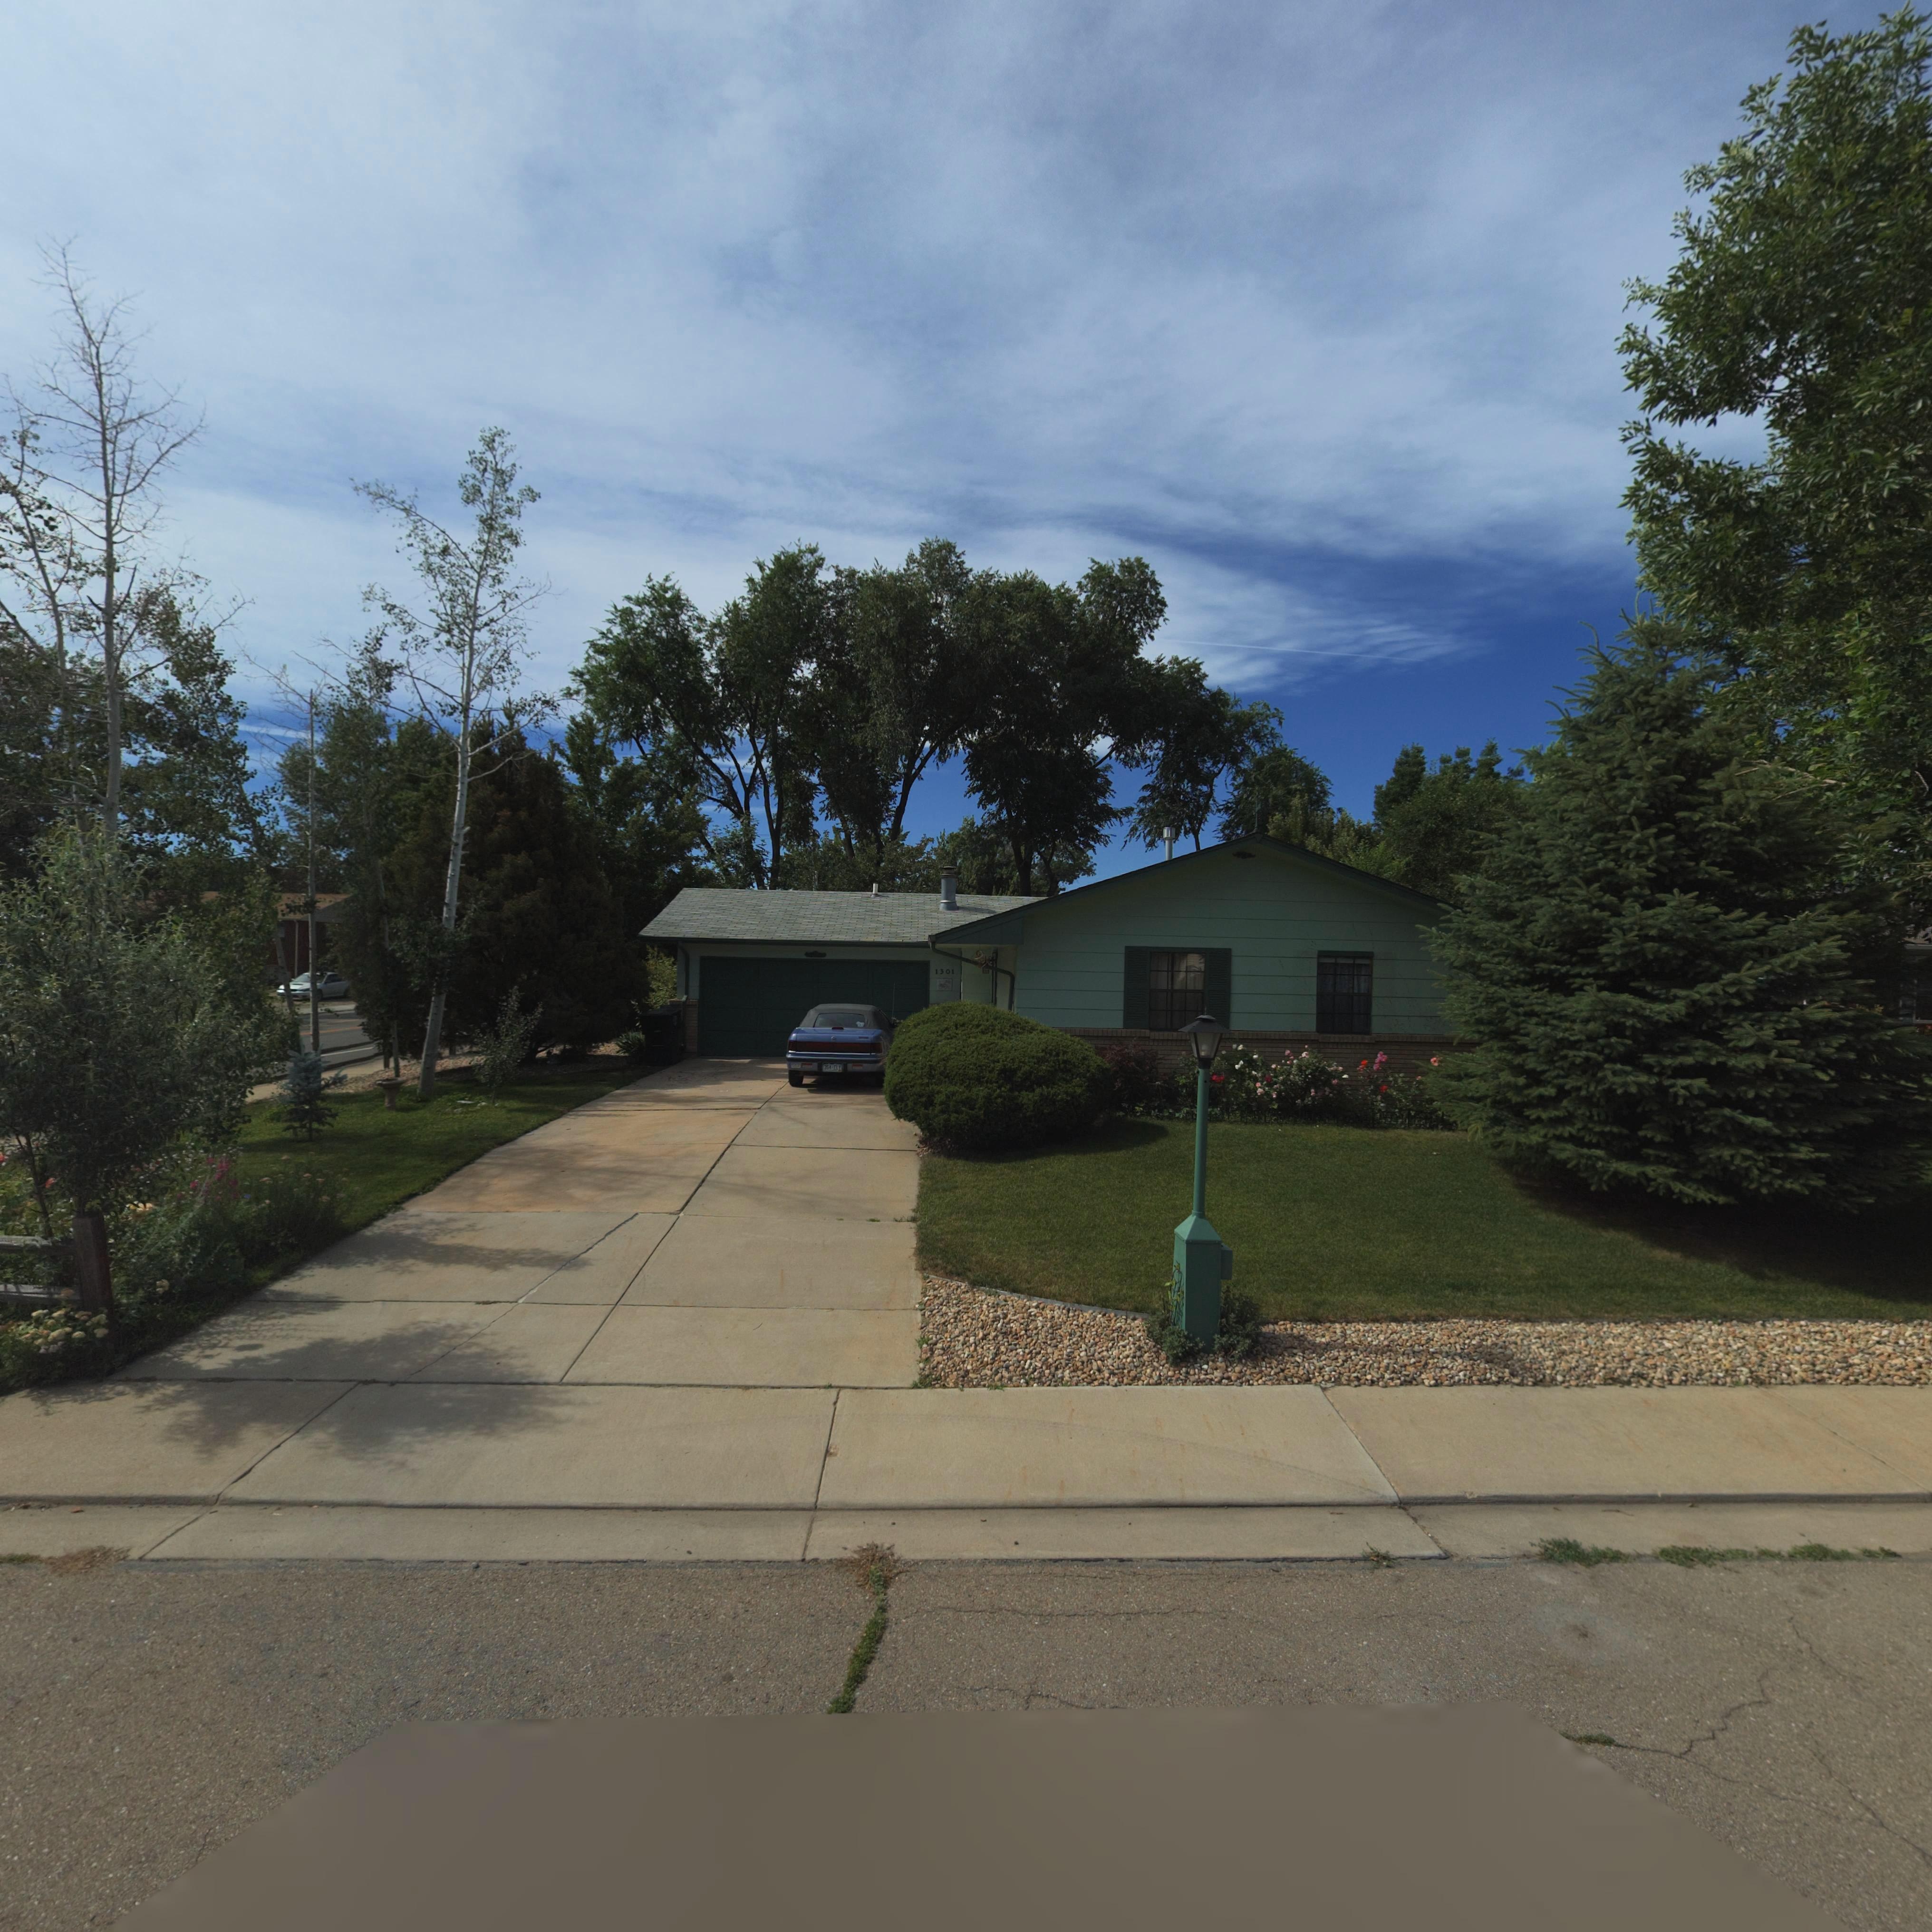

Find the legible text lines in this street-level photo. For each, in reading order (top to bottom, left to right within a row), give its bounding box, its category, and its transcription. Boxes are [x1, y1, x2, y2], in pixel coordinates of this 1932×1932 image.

[935, 968, 955, 975] StreetNumber: 1301